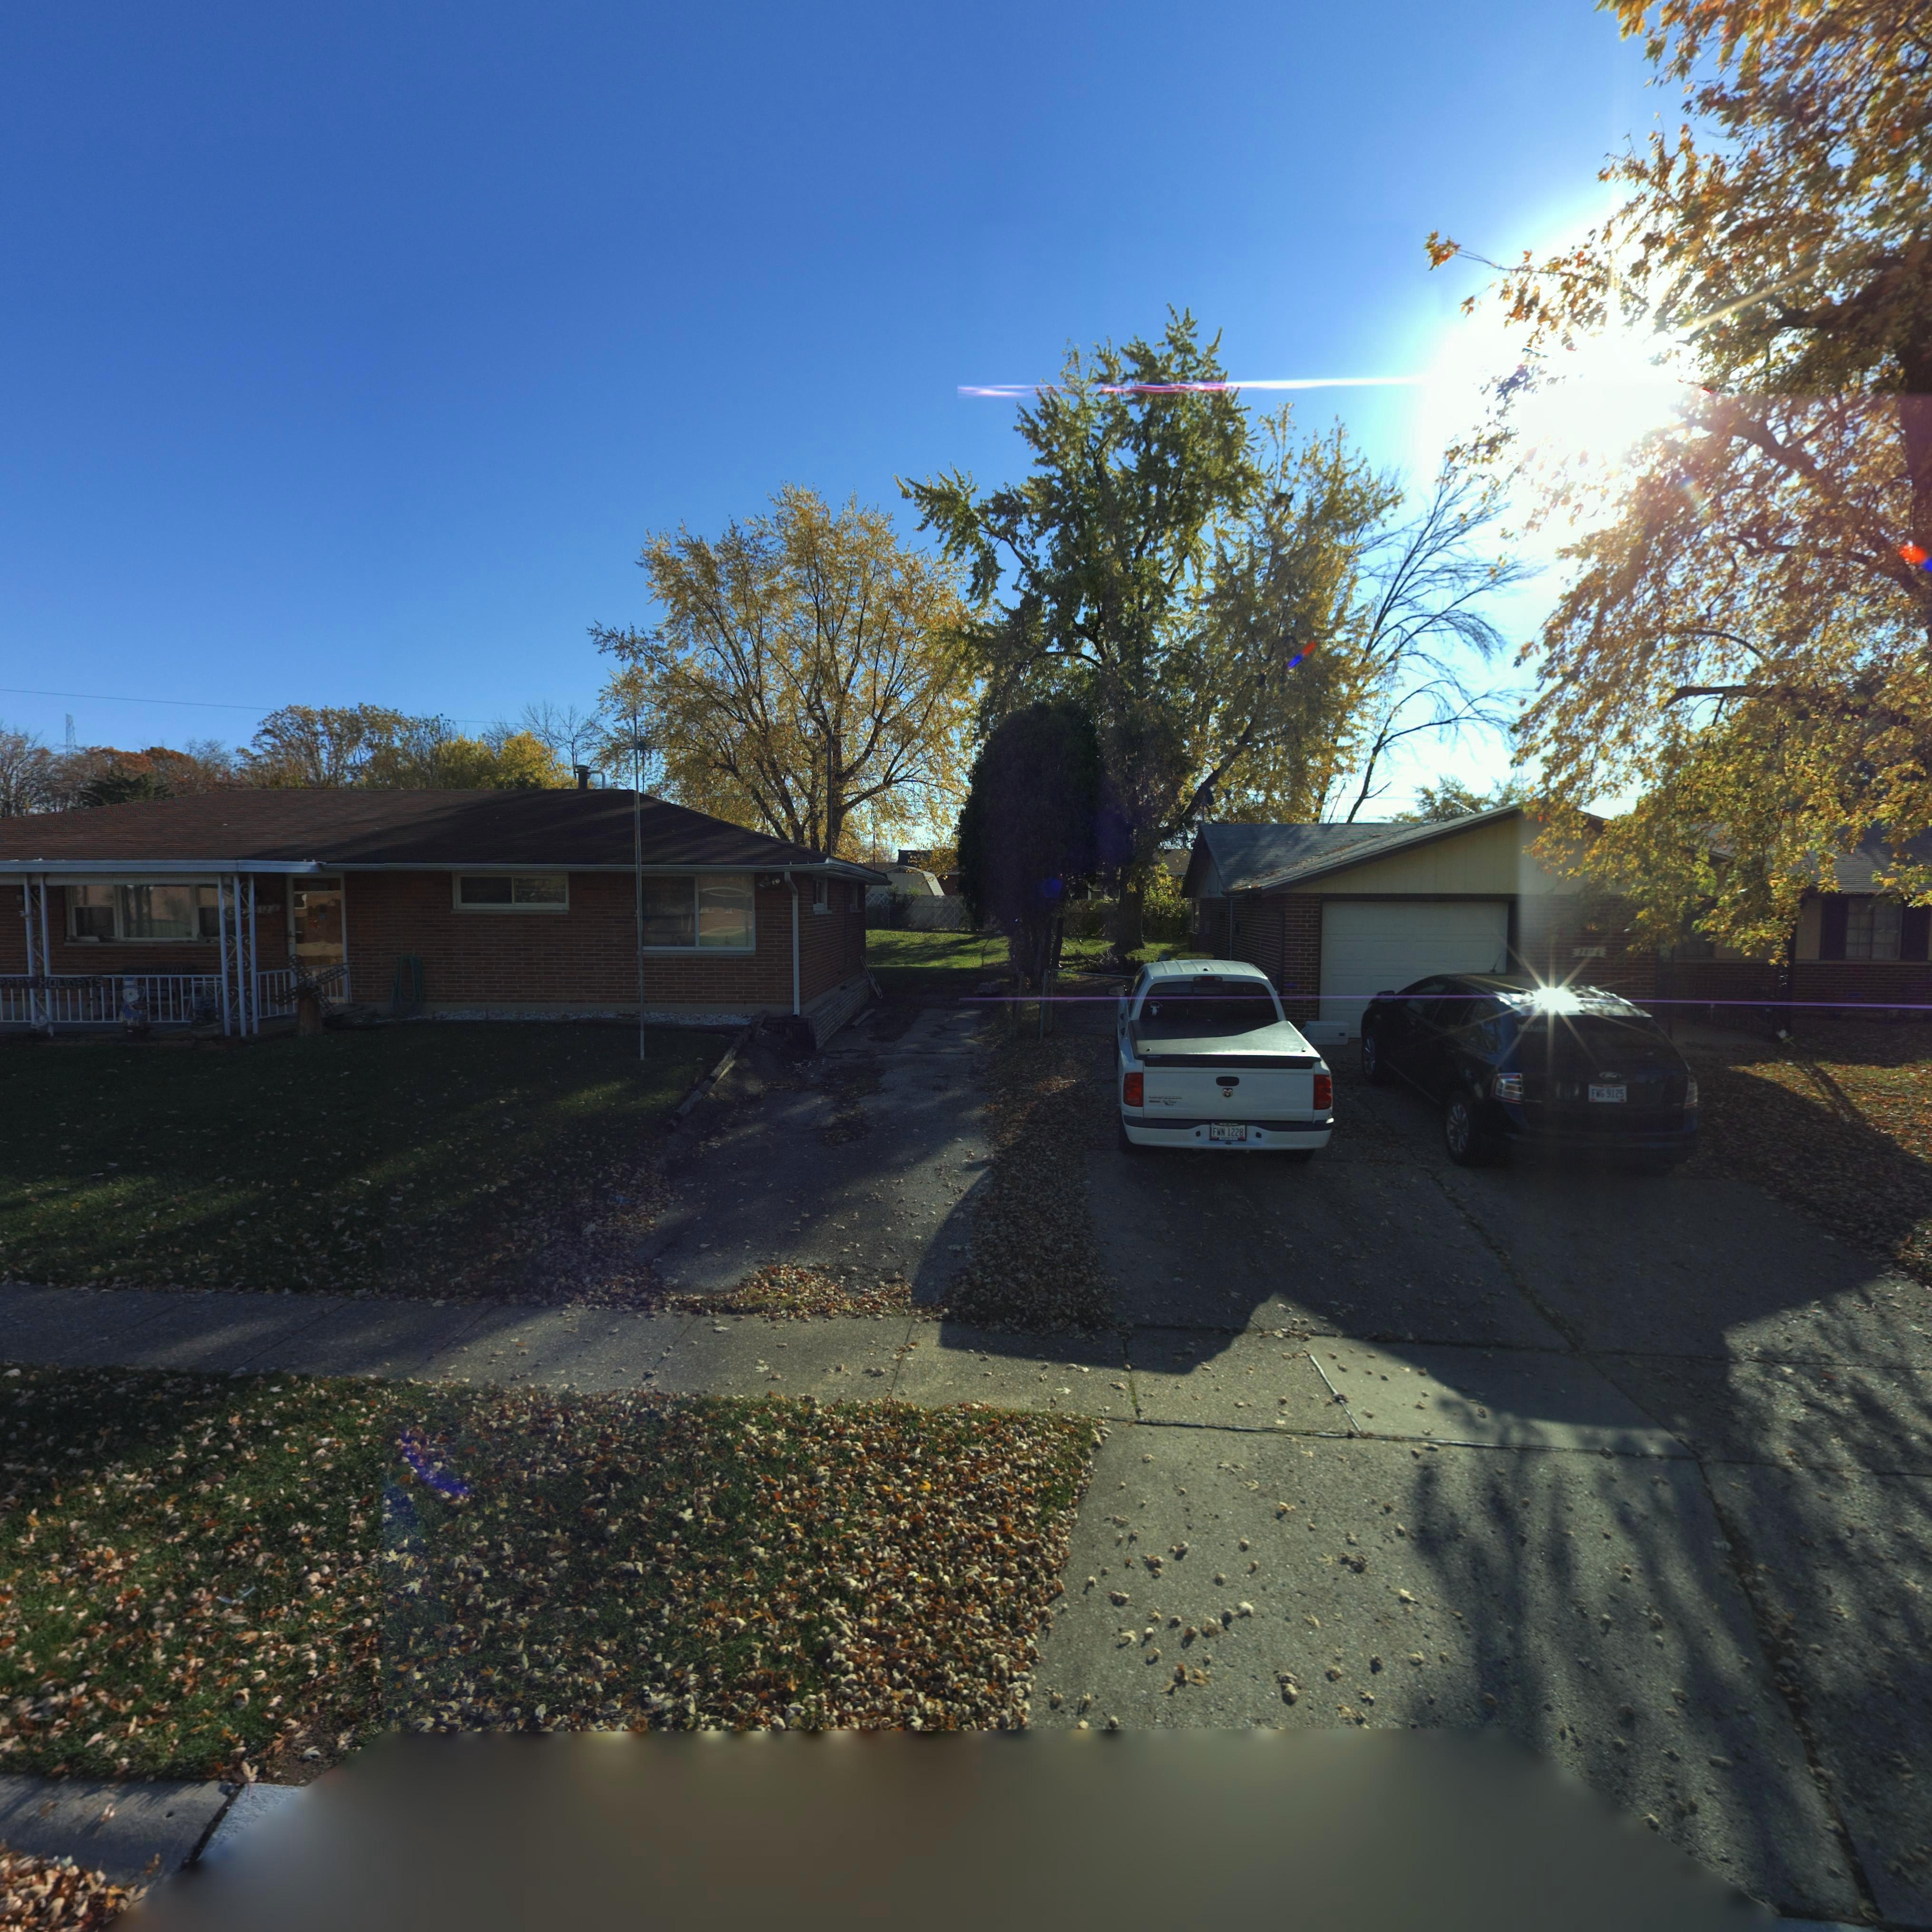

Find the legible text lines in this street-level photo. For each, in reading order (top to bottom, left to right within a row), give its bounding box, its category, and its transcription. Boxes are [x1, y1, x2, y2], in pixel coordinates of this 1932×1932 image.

[260, 905, 270, 914] StreetNumber: 12
[1578, 947, 1602, 956] StreetNumber: 7806